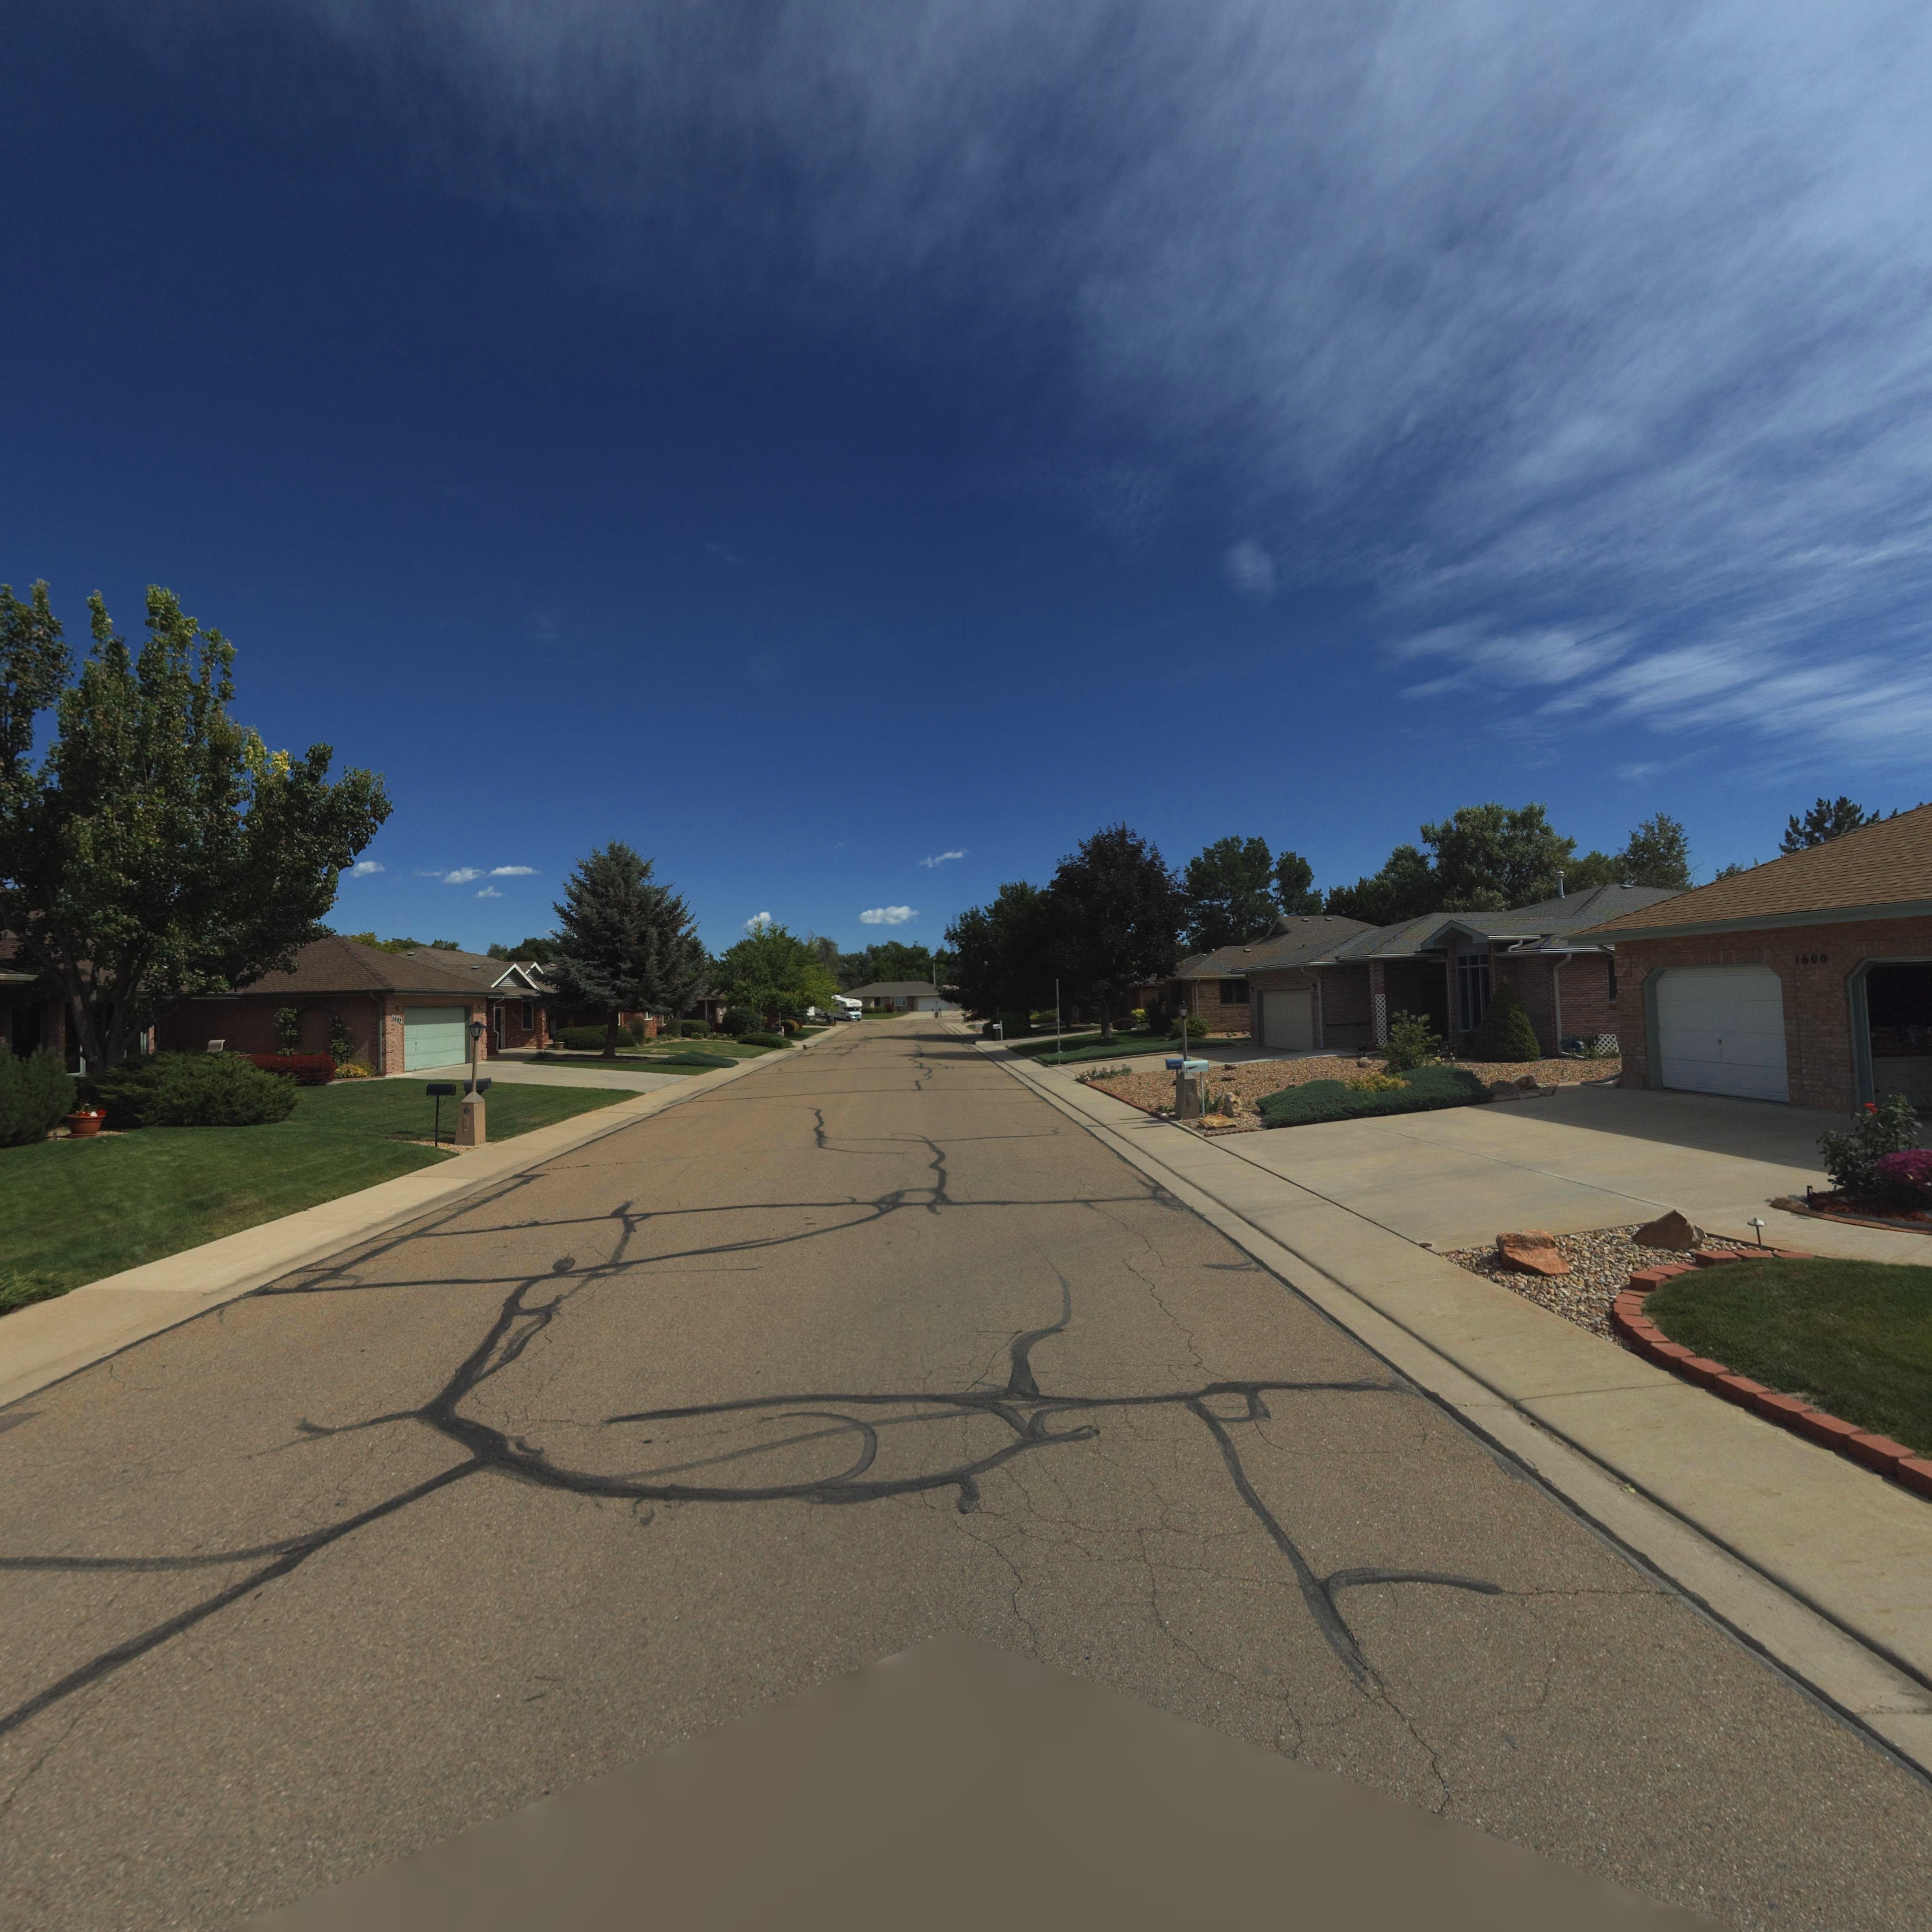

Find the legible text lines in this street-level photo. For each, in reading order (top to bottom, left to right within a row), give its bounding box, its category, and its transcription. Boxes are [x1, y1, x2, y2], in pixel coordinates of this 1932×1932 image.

[1794, 953, 1828, 965] StreetNumber: 1600
[392, 1014, 401, 1024] StreetNumber: 16**